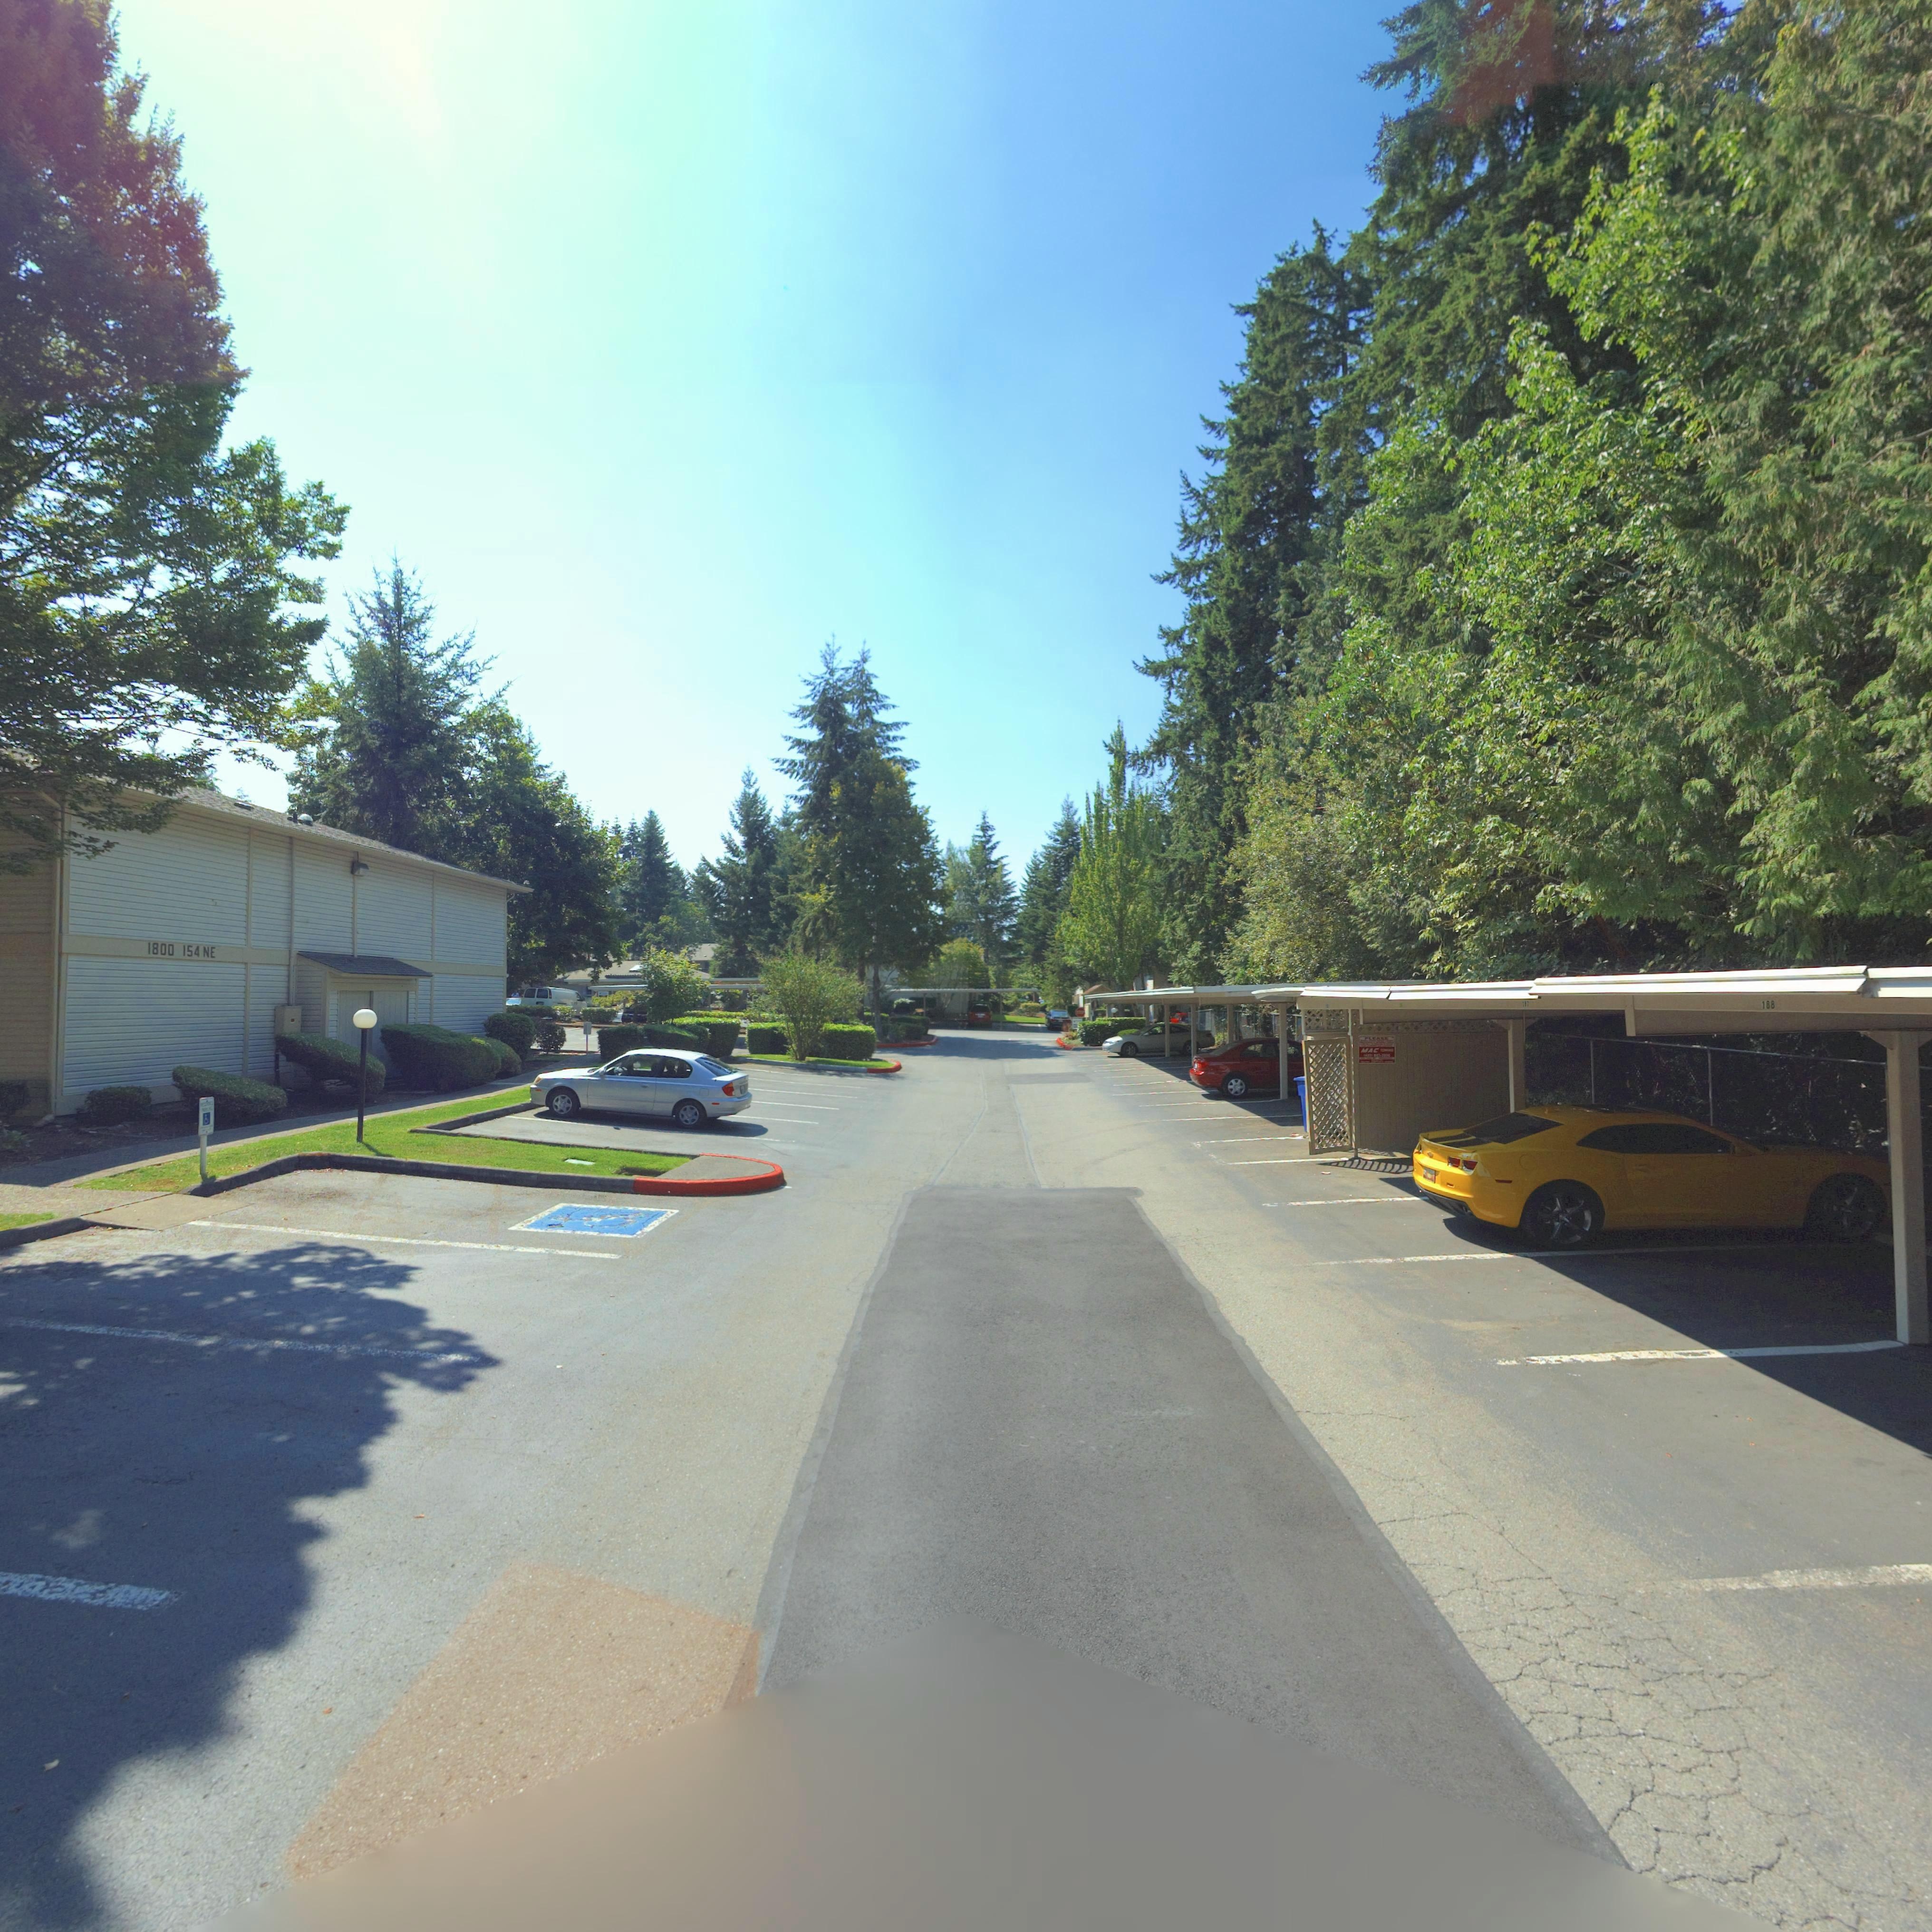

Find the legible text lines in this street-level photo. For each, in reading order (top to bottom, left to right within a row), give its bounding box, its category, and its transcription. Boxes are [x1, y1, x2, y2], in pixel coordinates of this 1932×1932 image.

[146, 941, 219, 960] StreetNumber: 1800 154 NE